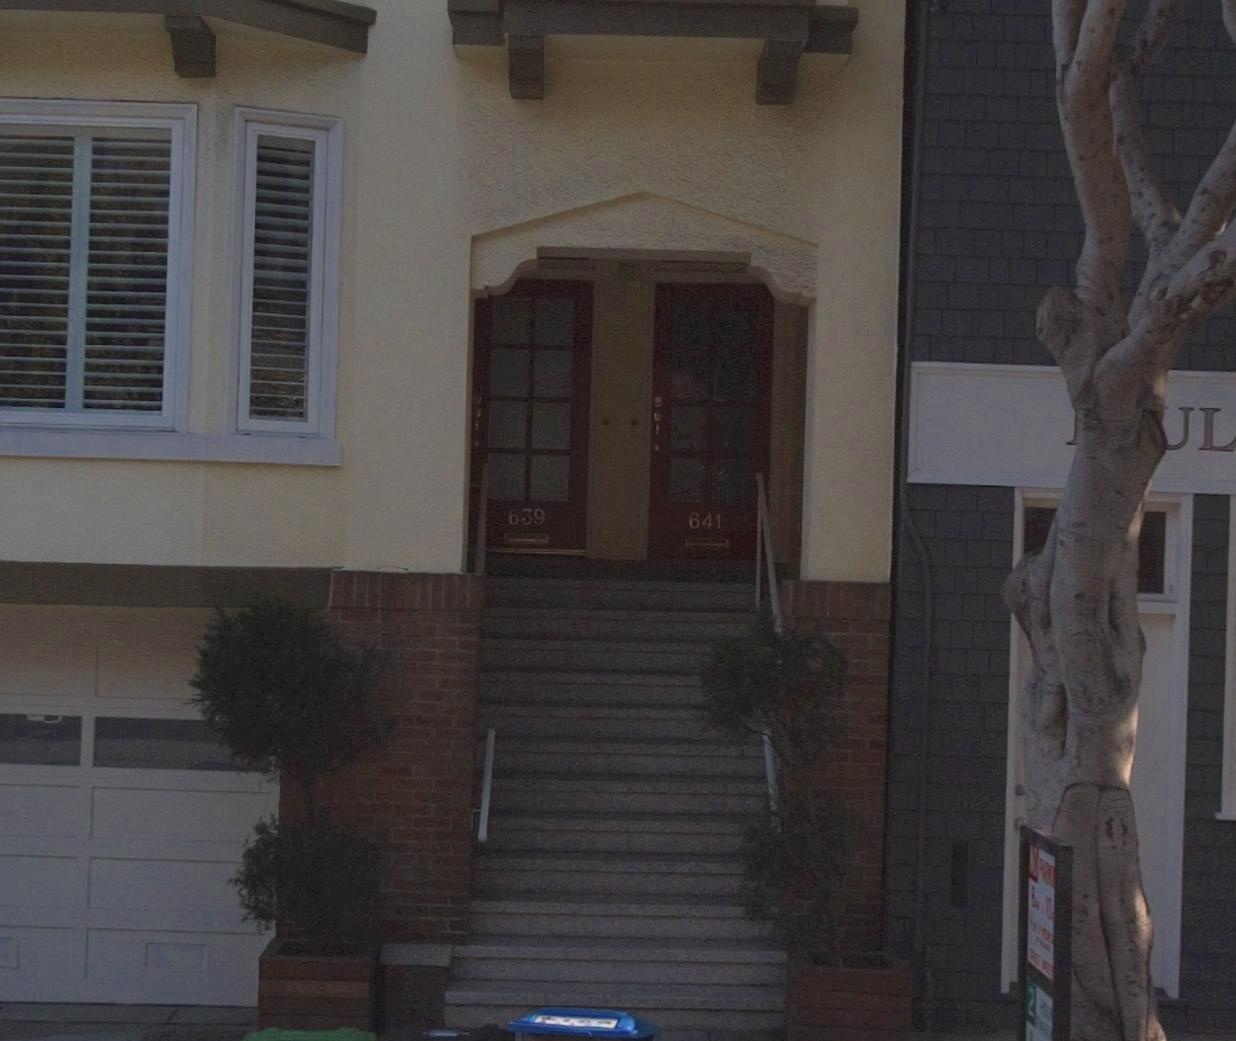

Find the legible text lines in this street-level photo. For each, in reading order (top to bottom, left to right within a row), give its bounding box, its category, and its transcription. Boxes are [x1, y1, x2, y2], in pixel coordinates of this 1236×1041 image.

[1194, 404, 1234, 452] None: L
[506, 505, 547, 527] StreetNumber: 639
[686, 510, 724, 532] StreetNumber: 641
[1025, 984, 1037, 1023] None: 2